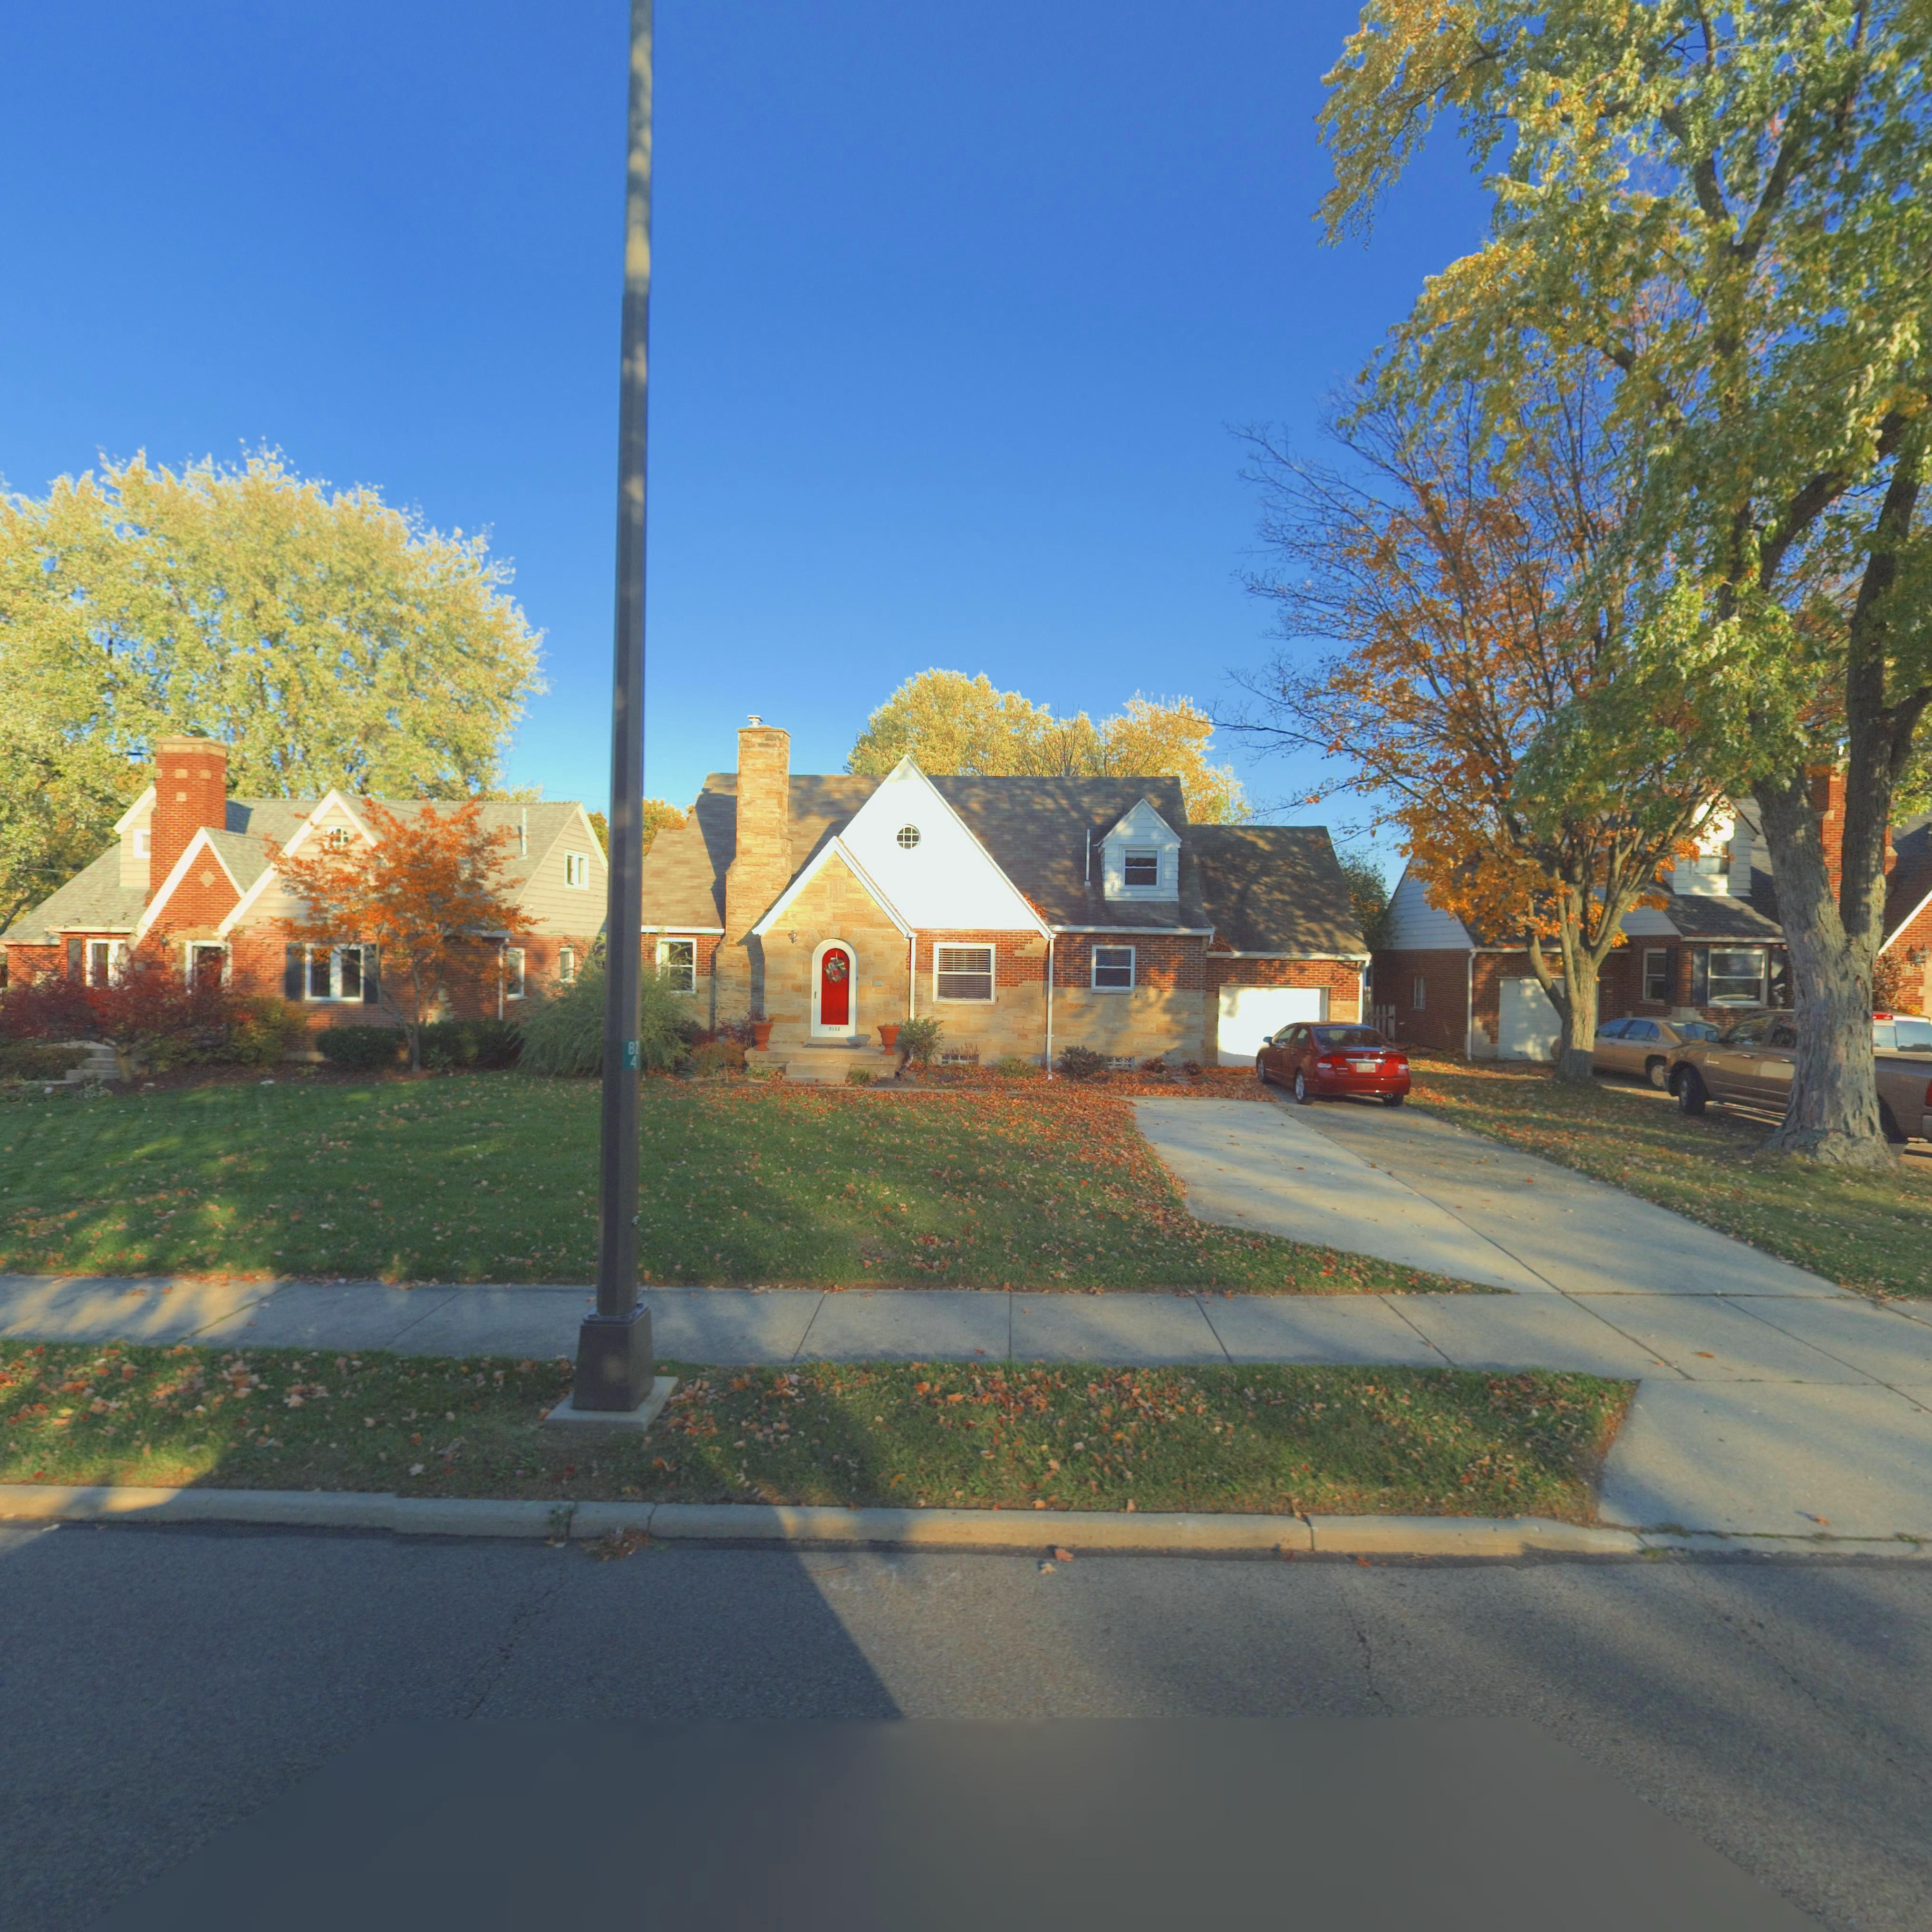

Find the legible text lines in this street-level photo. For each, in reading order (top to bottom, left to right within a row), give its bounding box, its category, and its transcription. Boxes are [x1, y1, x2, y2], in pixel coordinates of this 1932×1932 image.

[828, 1026, 841, 1032] StreetNumber: 3112